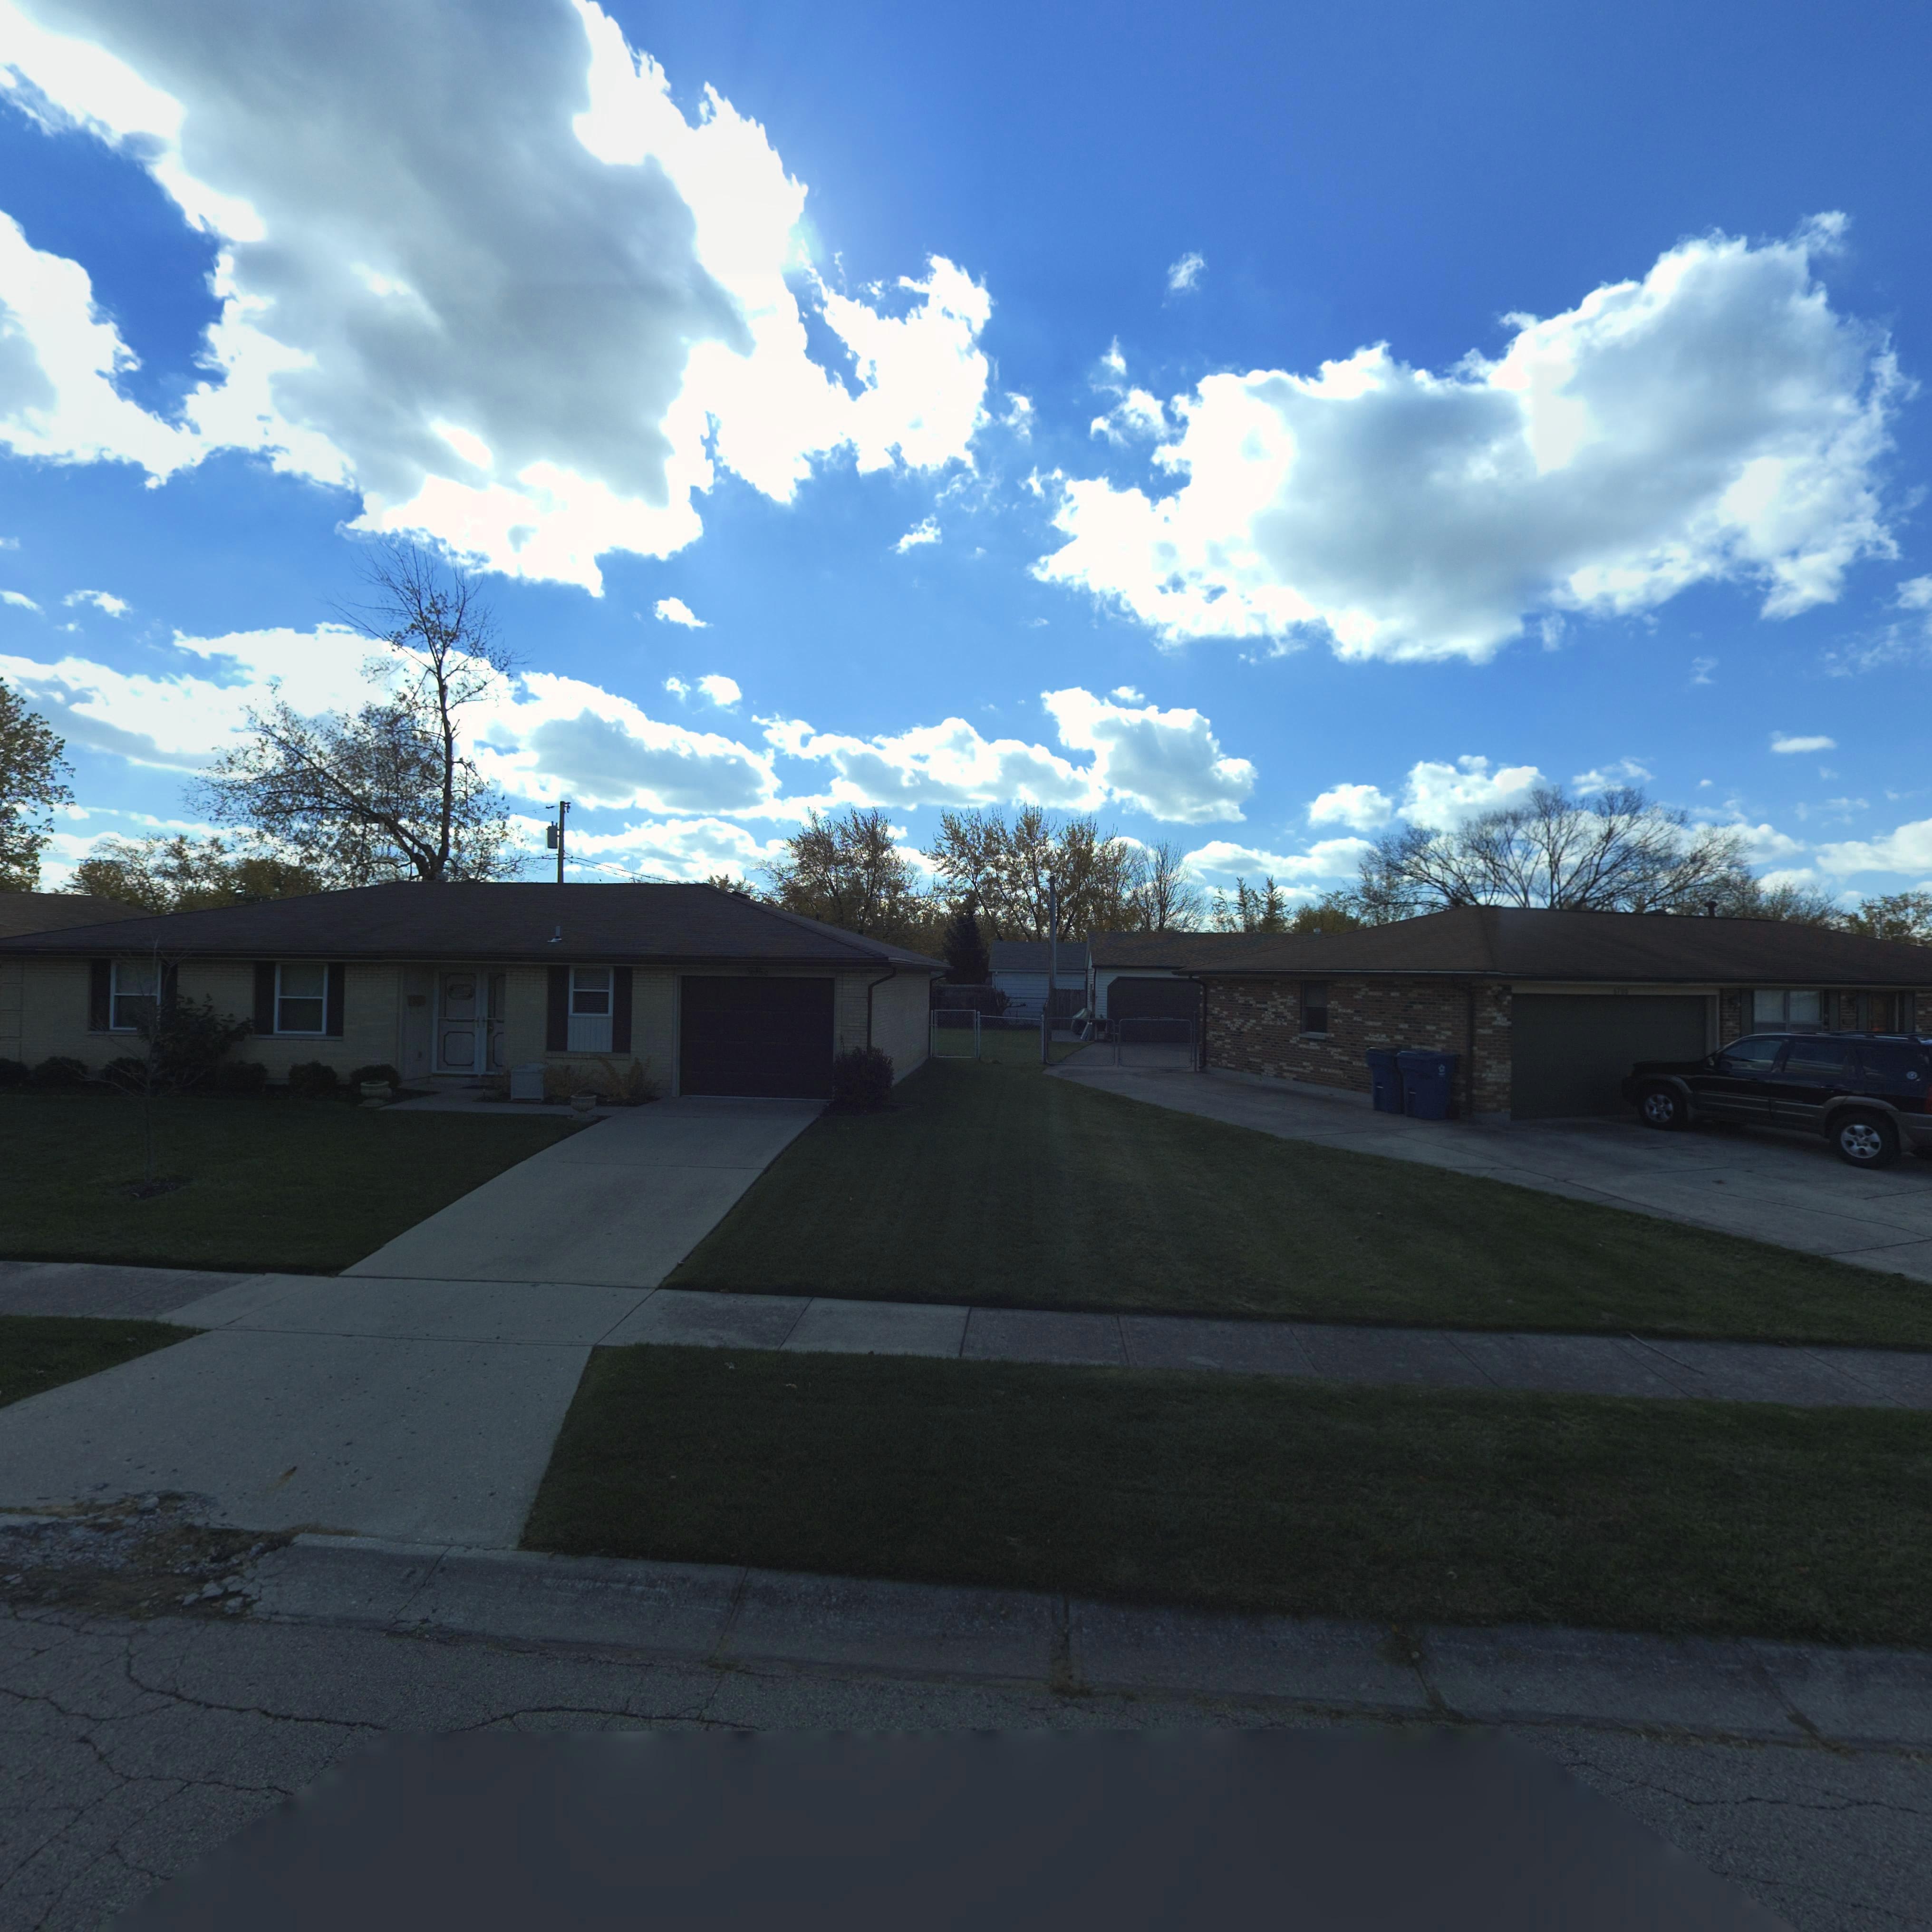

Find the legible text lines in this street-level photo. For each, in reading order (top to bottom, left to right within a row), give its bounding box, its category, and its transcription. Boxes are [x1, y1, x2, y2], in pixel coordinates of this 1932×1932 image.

[763, 969, 769, 977] StreetNumber: 0
[1612, 986, 1629, 995] StreetNumber: 67**